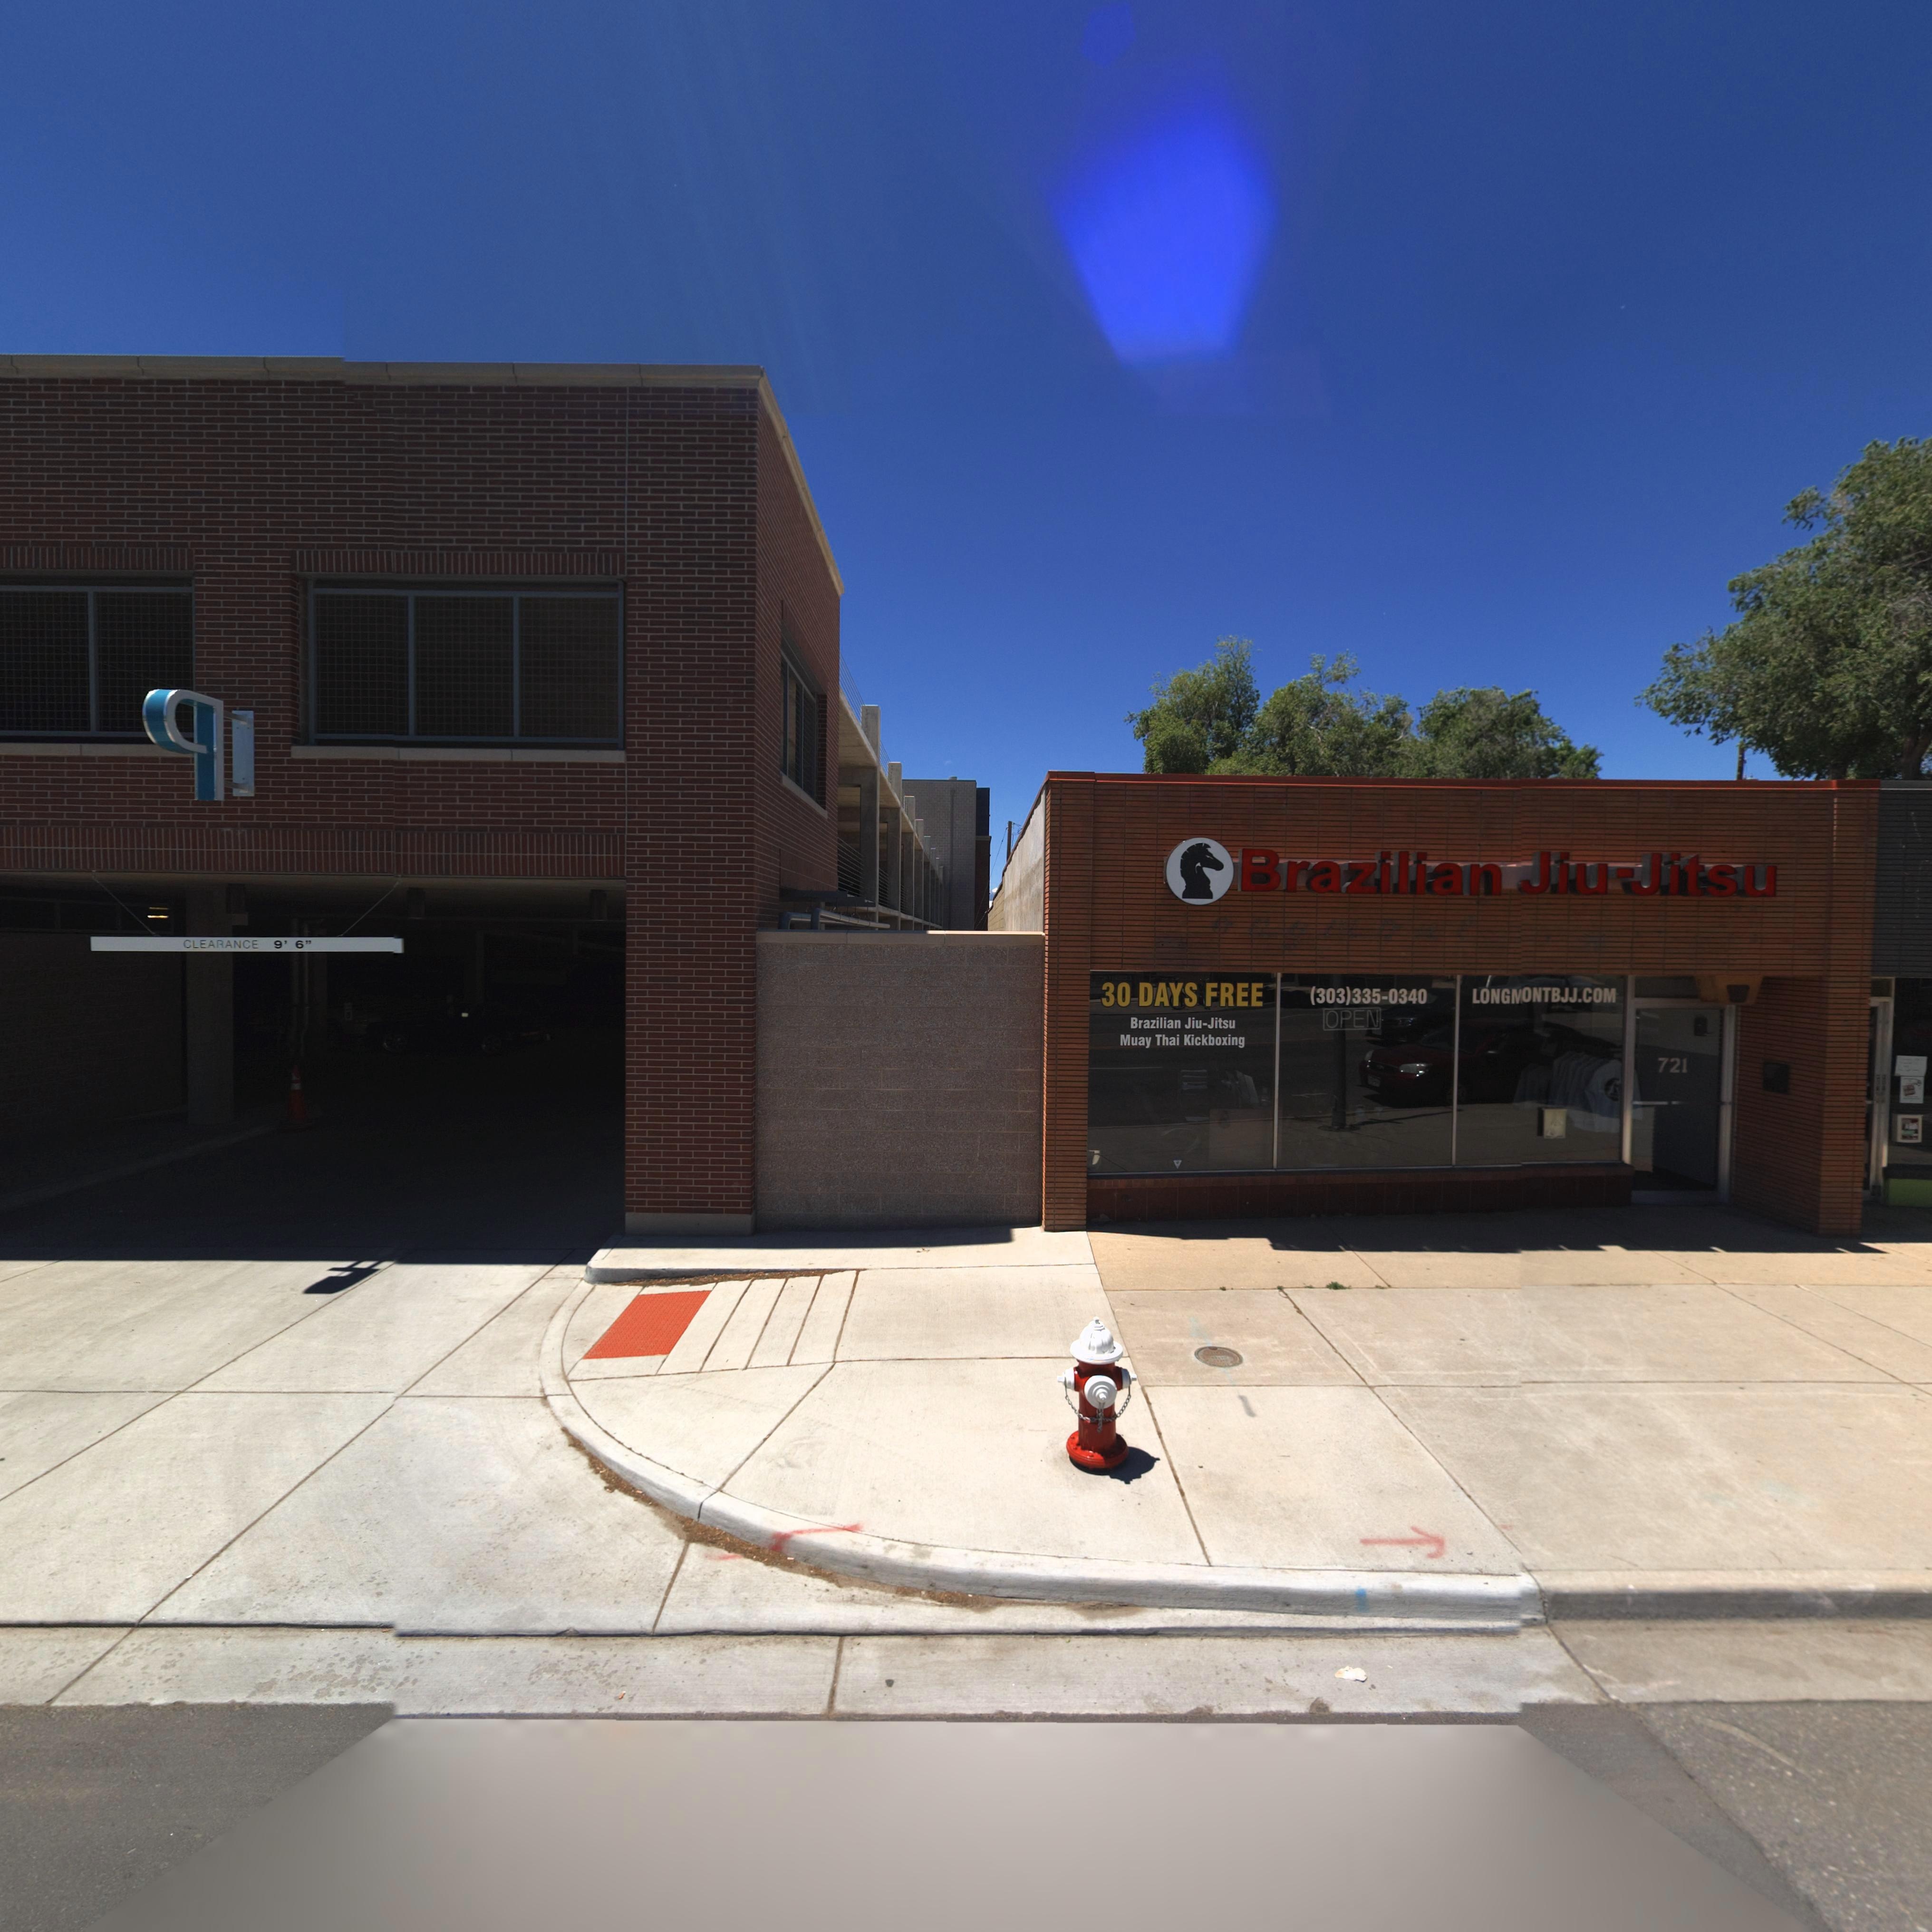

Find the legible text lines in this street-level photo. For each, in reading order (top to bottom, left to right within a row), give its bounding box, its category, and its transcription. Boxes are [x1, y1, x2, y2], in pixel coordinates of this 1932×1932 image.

[1658, 1057, 1688, 1073] StreetNumber: 721